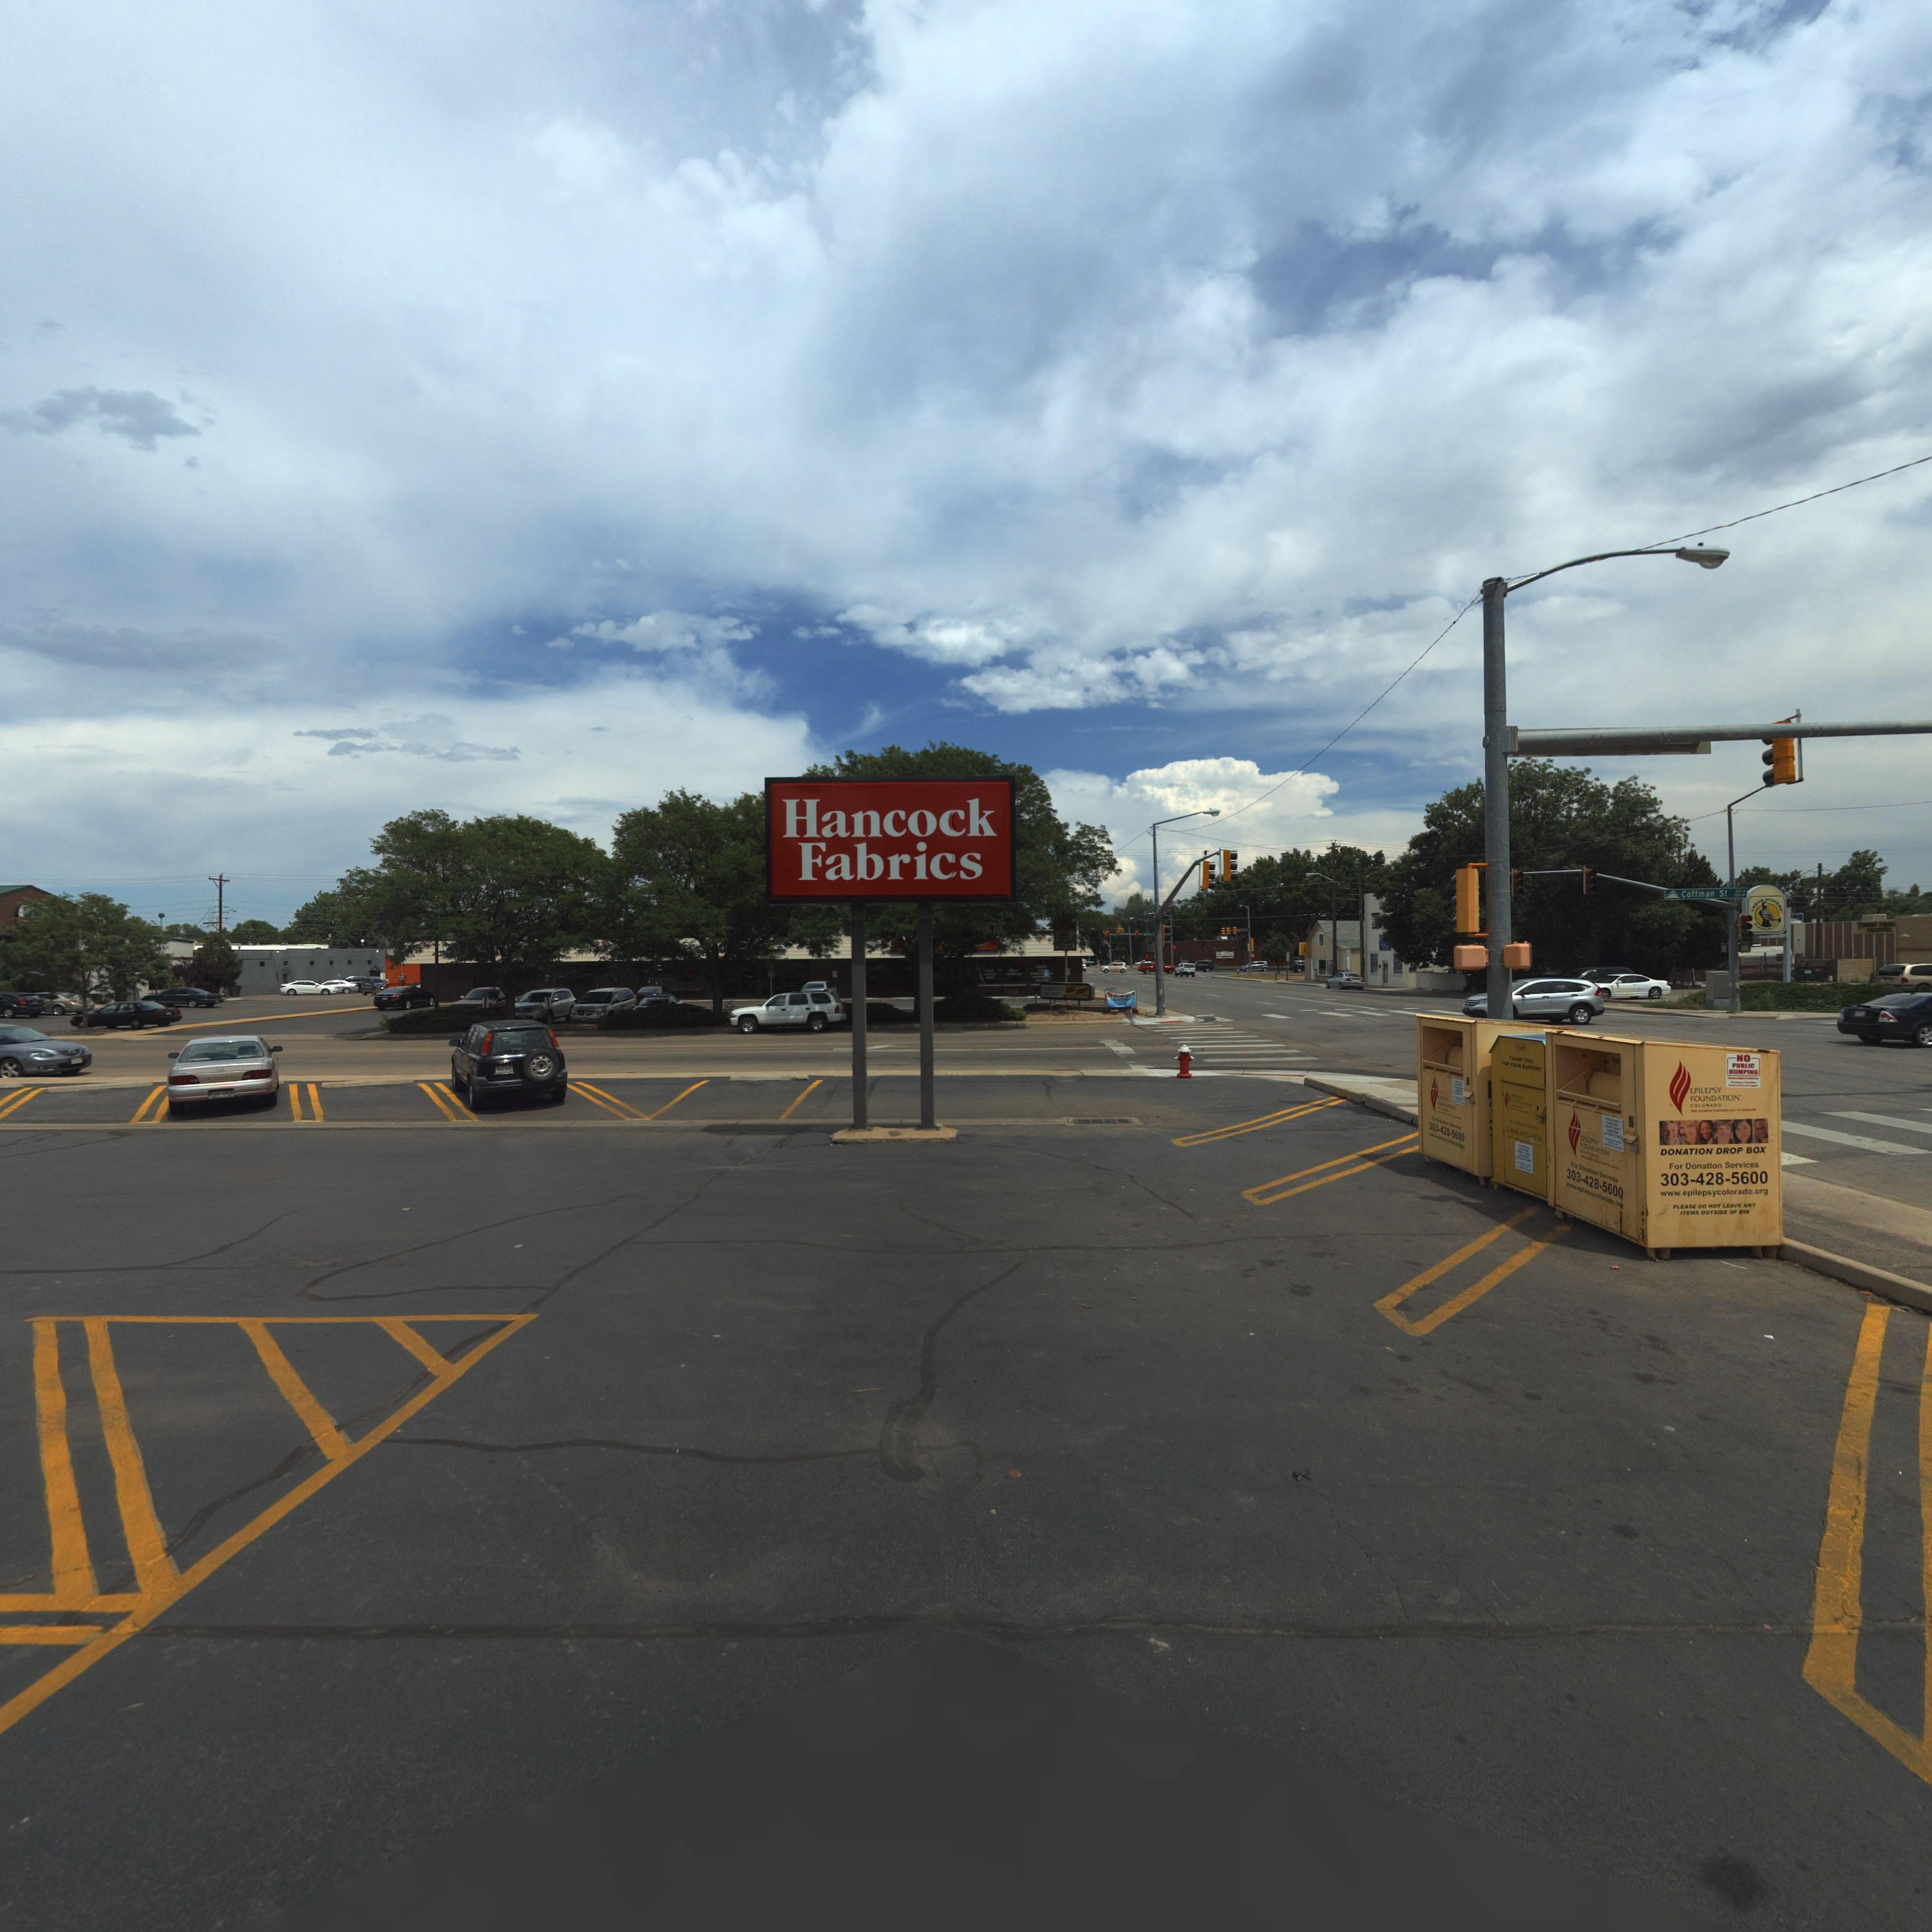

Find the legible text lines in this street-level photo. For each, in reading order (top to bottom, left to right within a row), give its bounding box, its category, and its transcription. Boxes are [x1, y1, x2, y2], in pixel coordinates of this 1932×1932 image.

[781, 796, 998, 839] BusinessName: Hancock
[797, 840, 983, 881] BusinessName: Fabrics
[1681, 889, 1728, 898] StreetName: Coffman St
[1750, 897, 1783, 912] BusinessName: LA*** *Y*T**
[1065, 985, 1075, 994] BusinessName: D**I
[1075, 986, 1088, 995] BusinessName: C*O*O